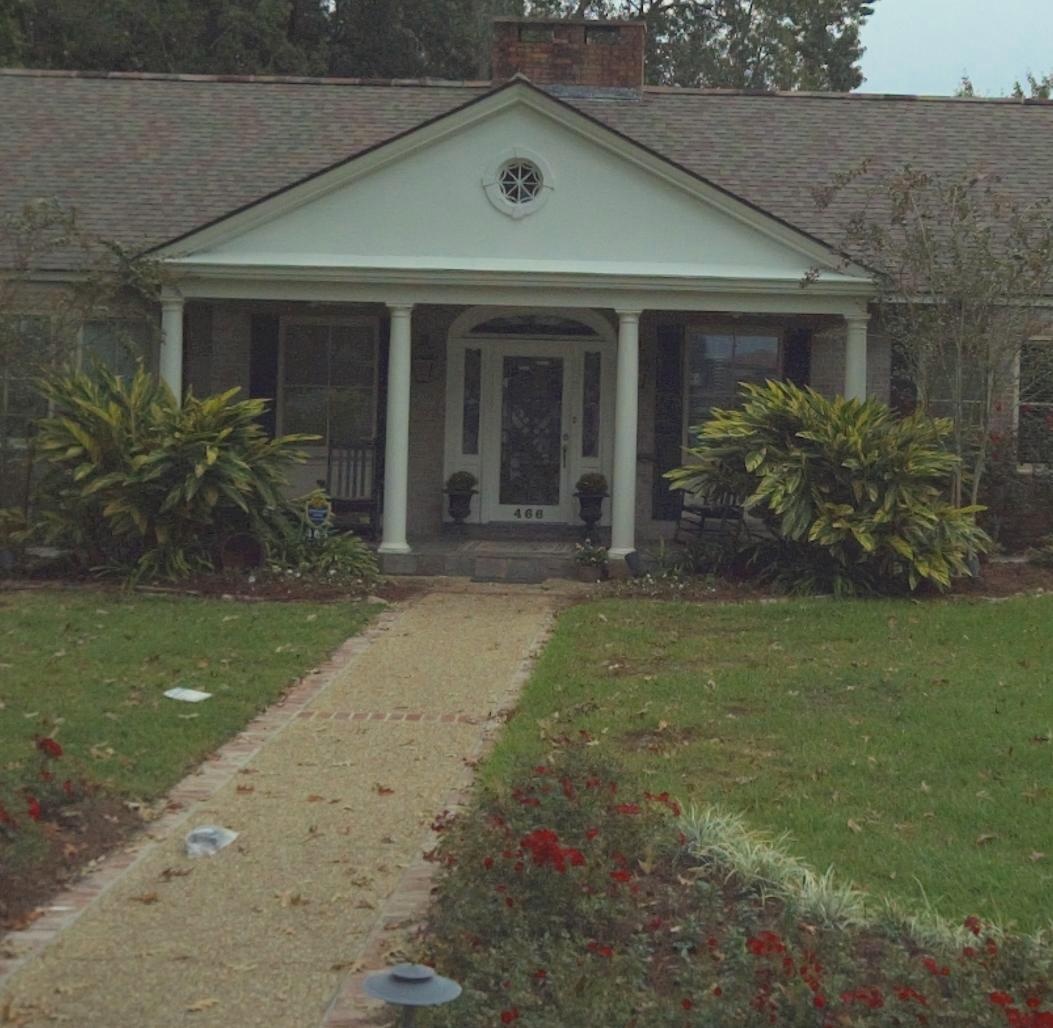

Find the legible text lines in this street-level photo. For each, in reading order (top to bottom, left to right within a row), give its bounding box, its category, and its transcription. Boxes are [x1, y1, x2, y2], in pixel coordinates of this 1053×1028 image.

[512, 508, 545, 519] StreetNumber: 466